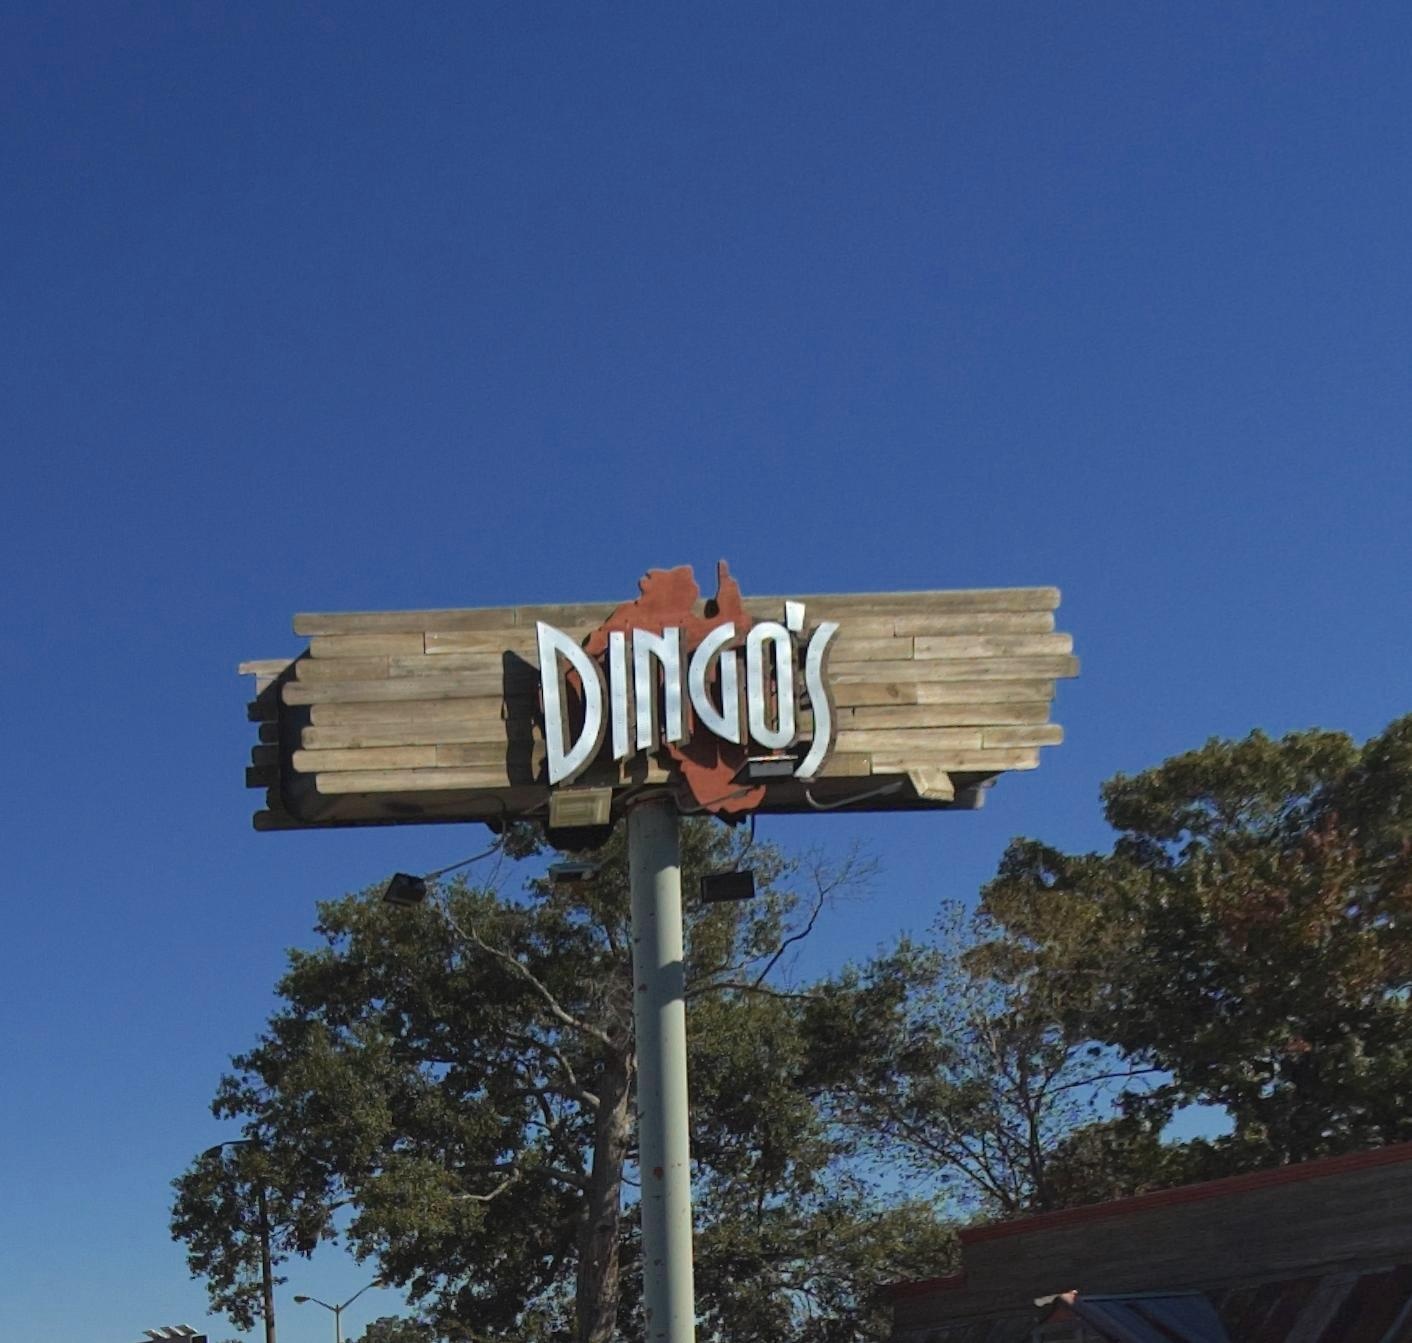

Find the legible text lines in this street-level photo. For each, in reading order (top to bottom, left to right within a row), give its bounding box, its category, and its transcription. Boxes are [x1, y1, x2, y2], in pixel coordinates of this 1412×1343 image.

[529, 594, 851, 794] BusinessName: DINGO'S